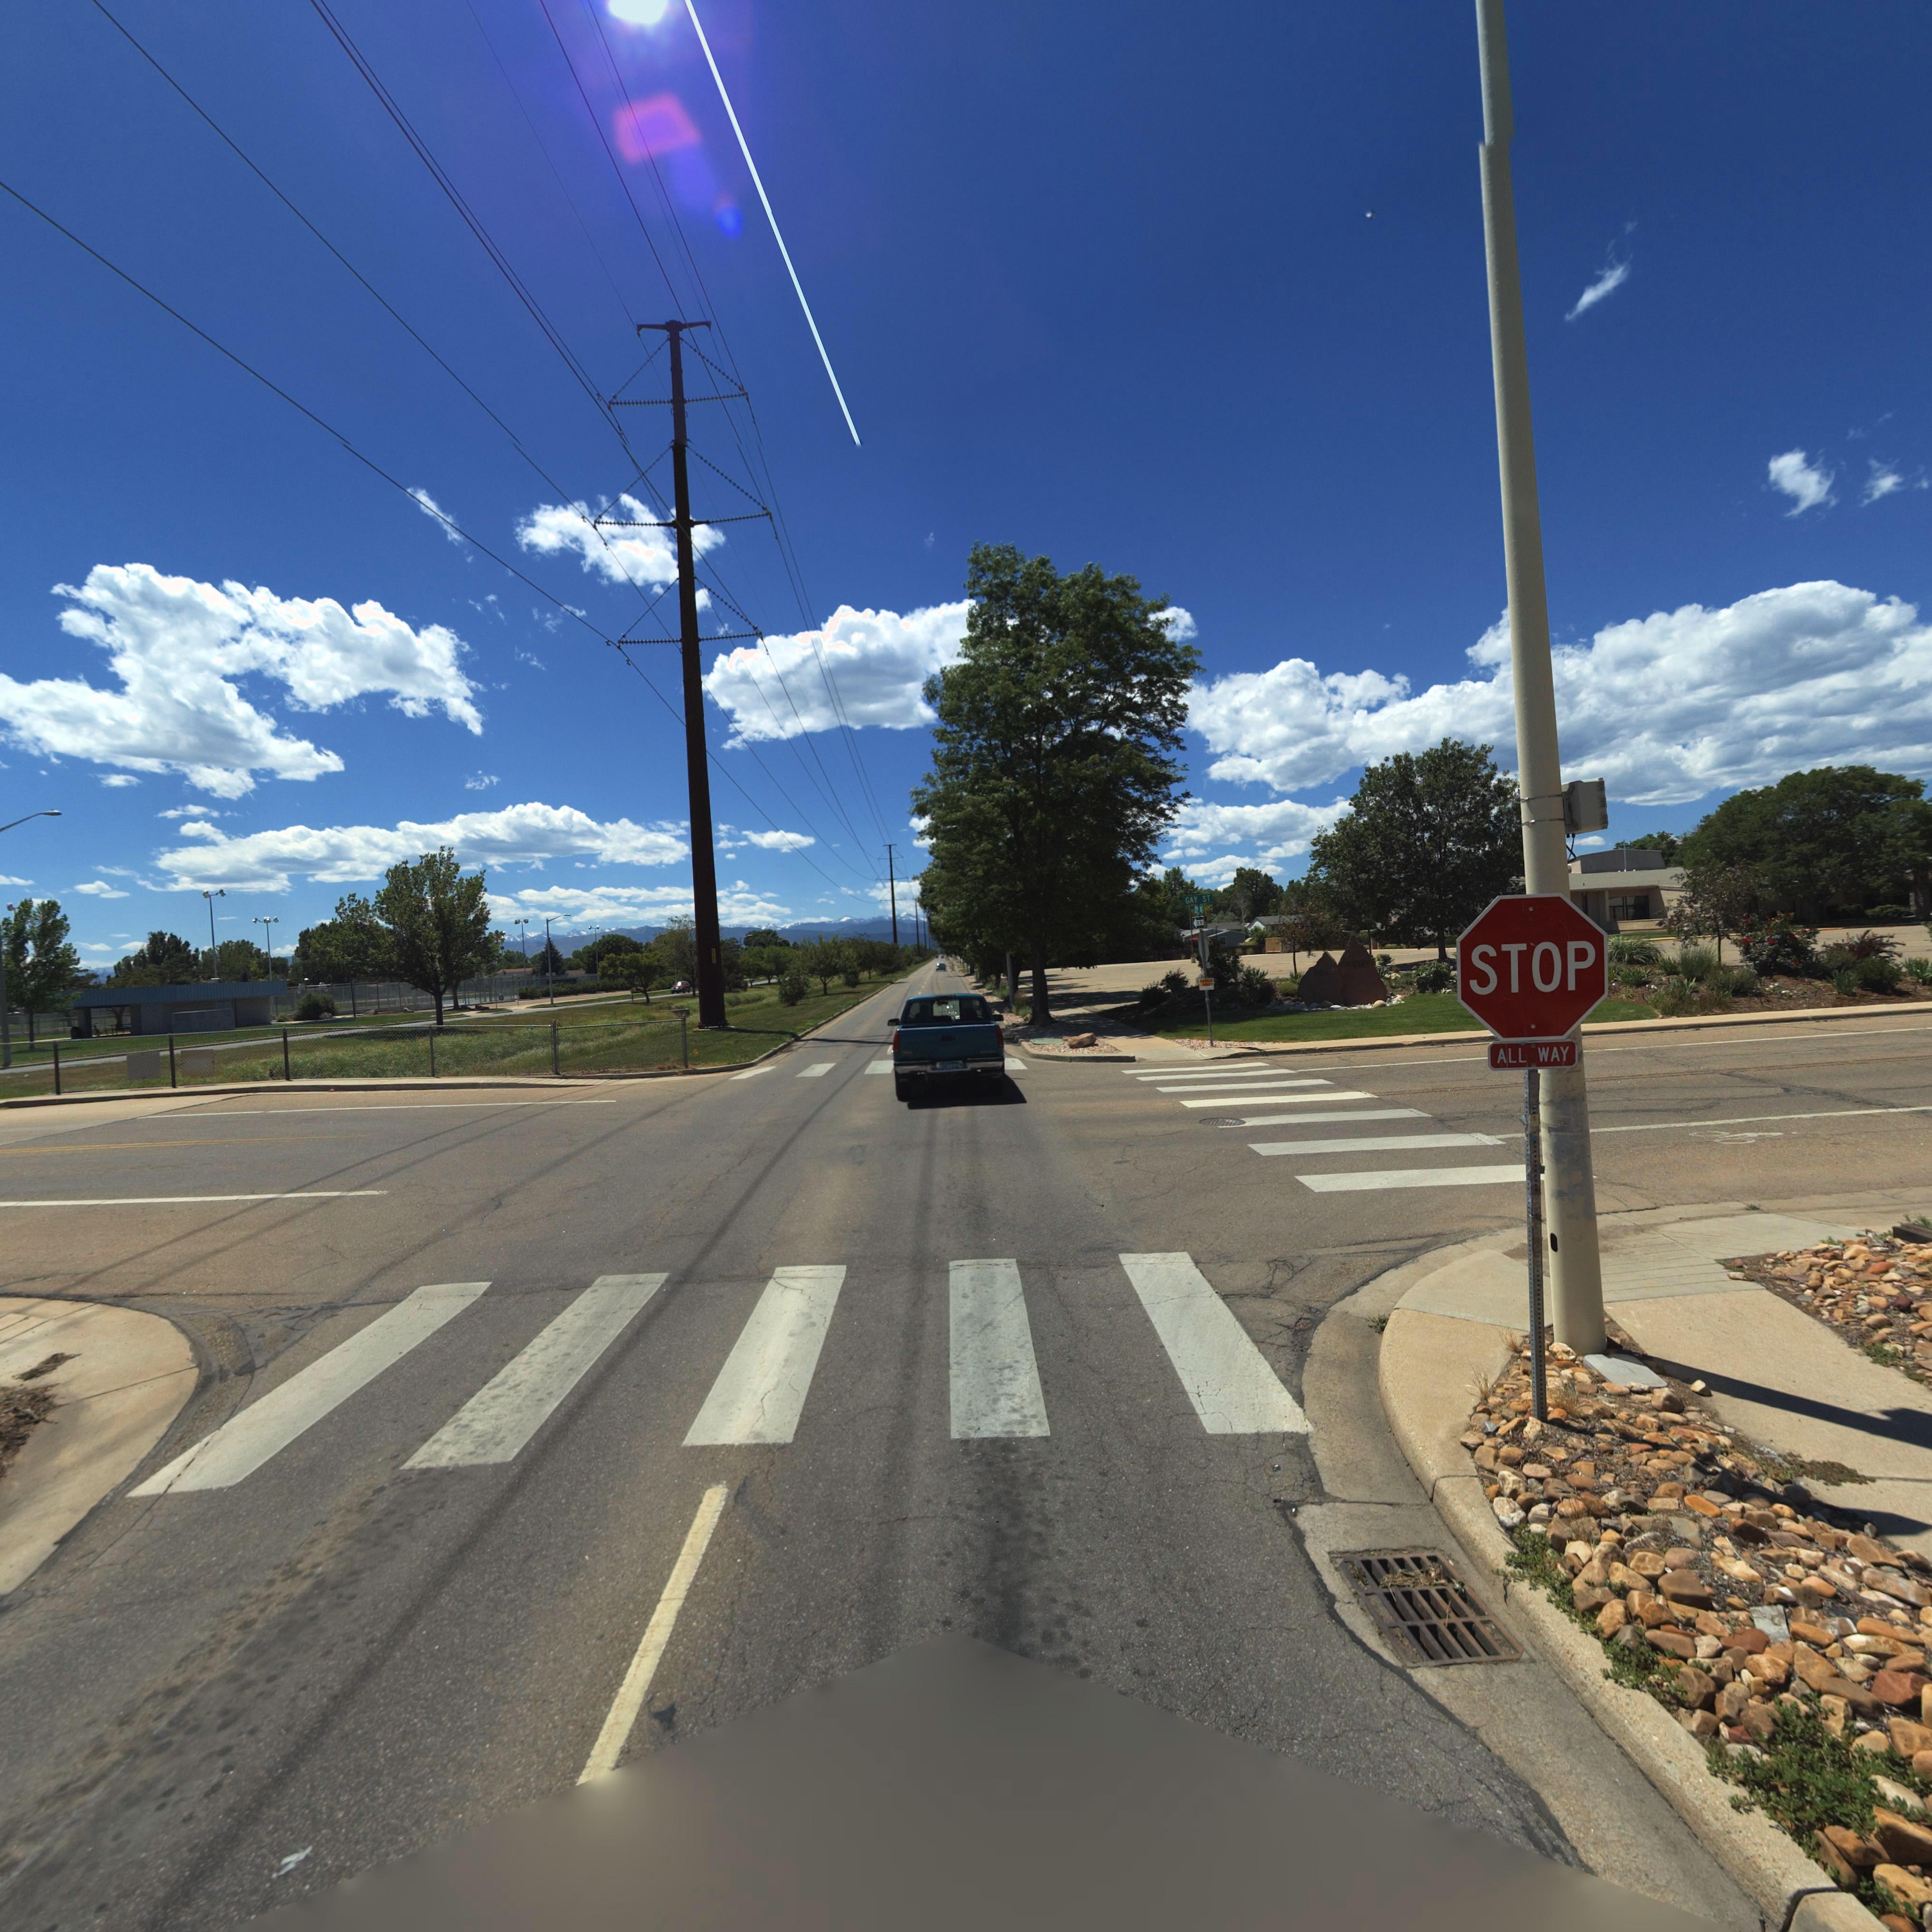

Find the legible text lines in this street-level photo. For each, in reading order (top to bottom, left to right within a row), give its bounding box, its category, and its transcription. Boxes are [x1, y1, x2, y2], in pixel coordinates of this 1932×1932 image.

[1184, 894, 1210, 904] StreetName: GAY ST
[1340, 960, 1371, 969] BusinessName: CA***RY